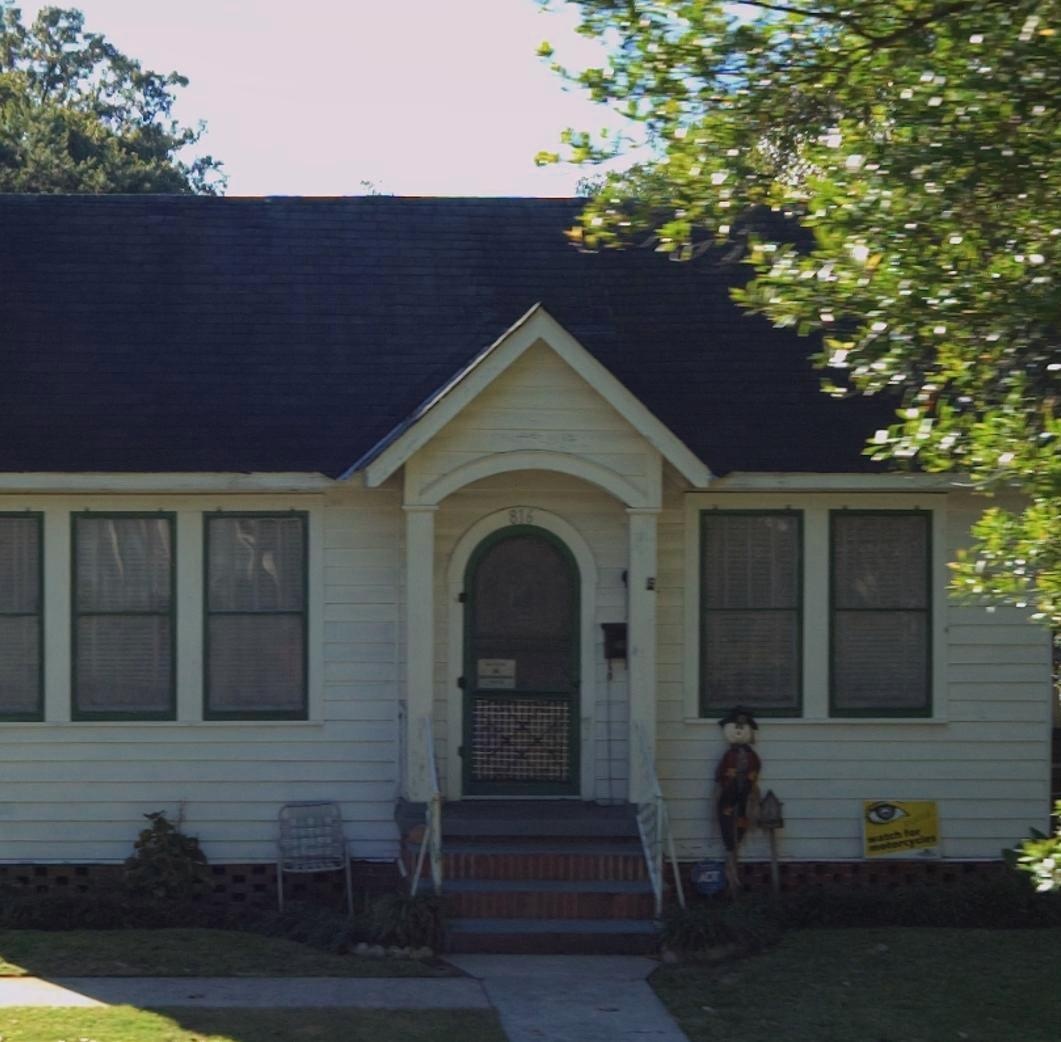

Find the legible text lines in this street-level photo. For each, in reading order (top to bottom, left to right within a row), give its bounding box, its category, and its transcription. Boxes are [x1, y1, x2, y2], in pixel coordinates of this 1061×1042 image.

[507, 506, 536, 526] StreetNumber: 816
[865, 825, 924, 846] None: watch for
[867, 832, 939, 856] None: motorcycles